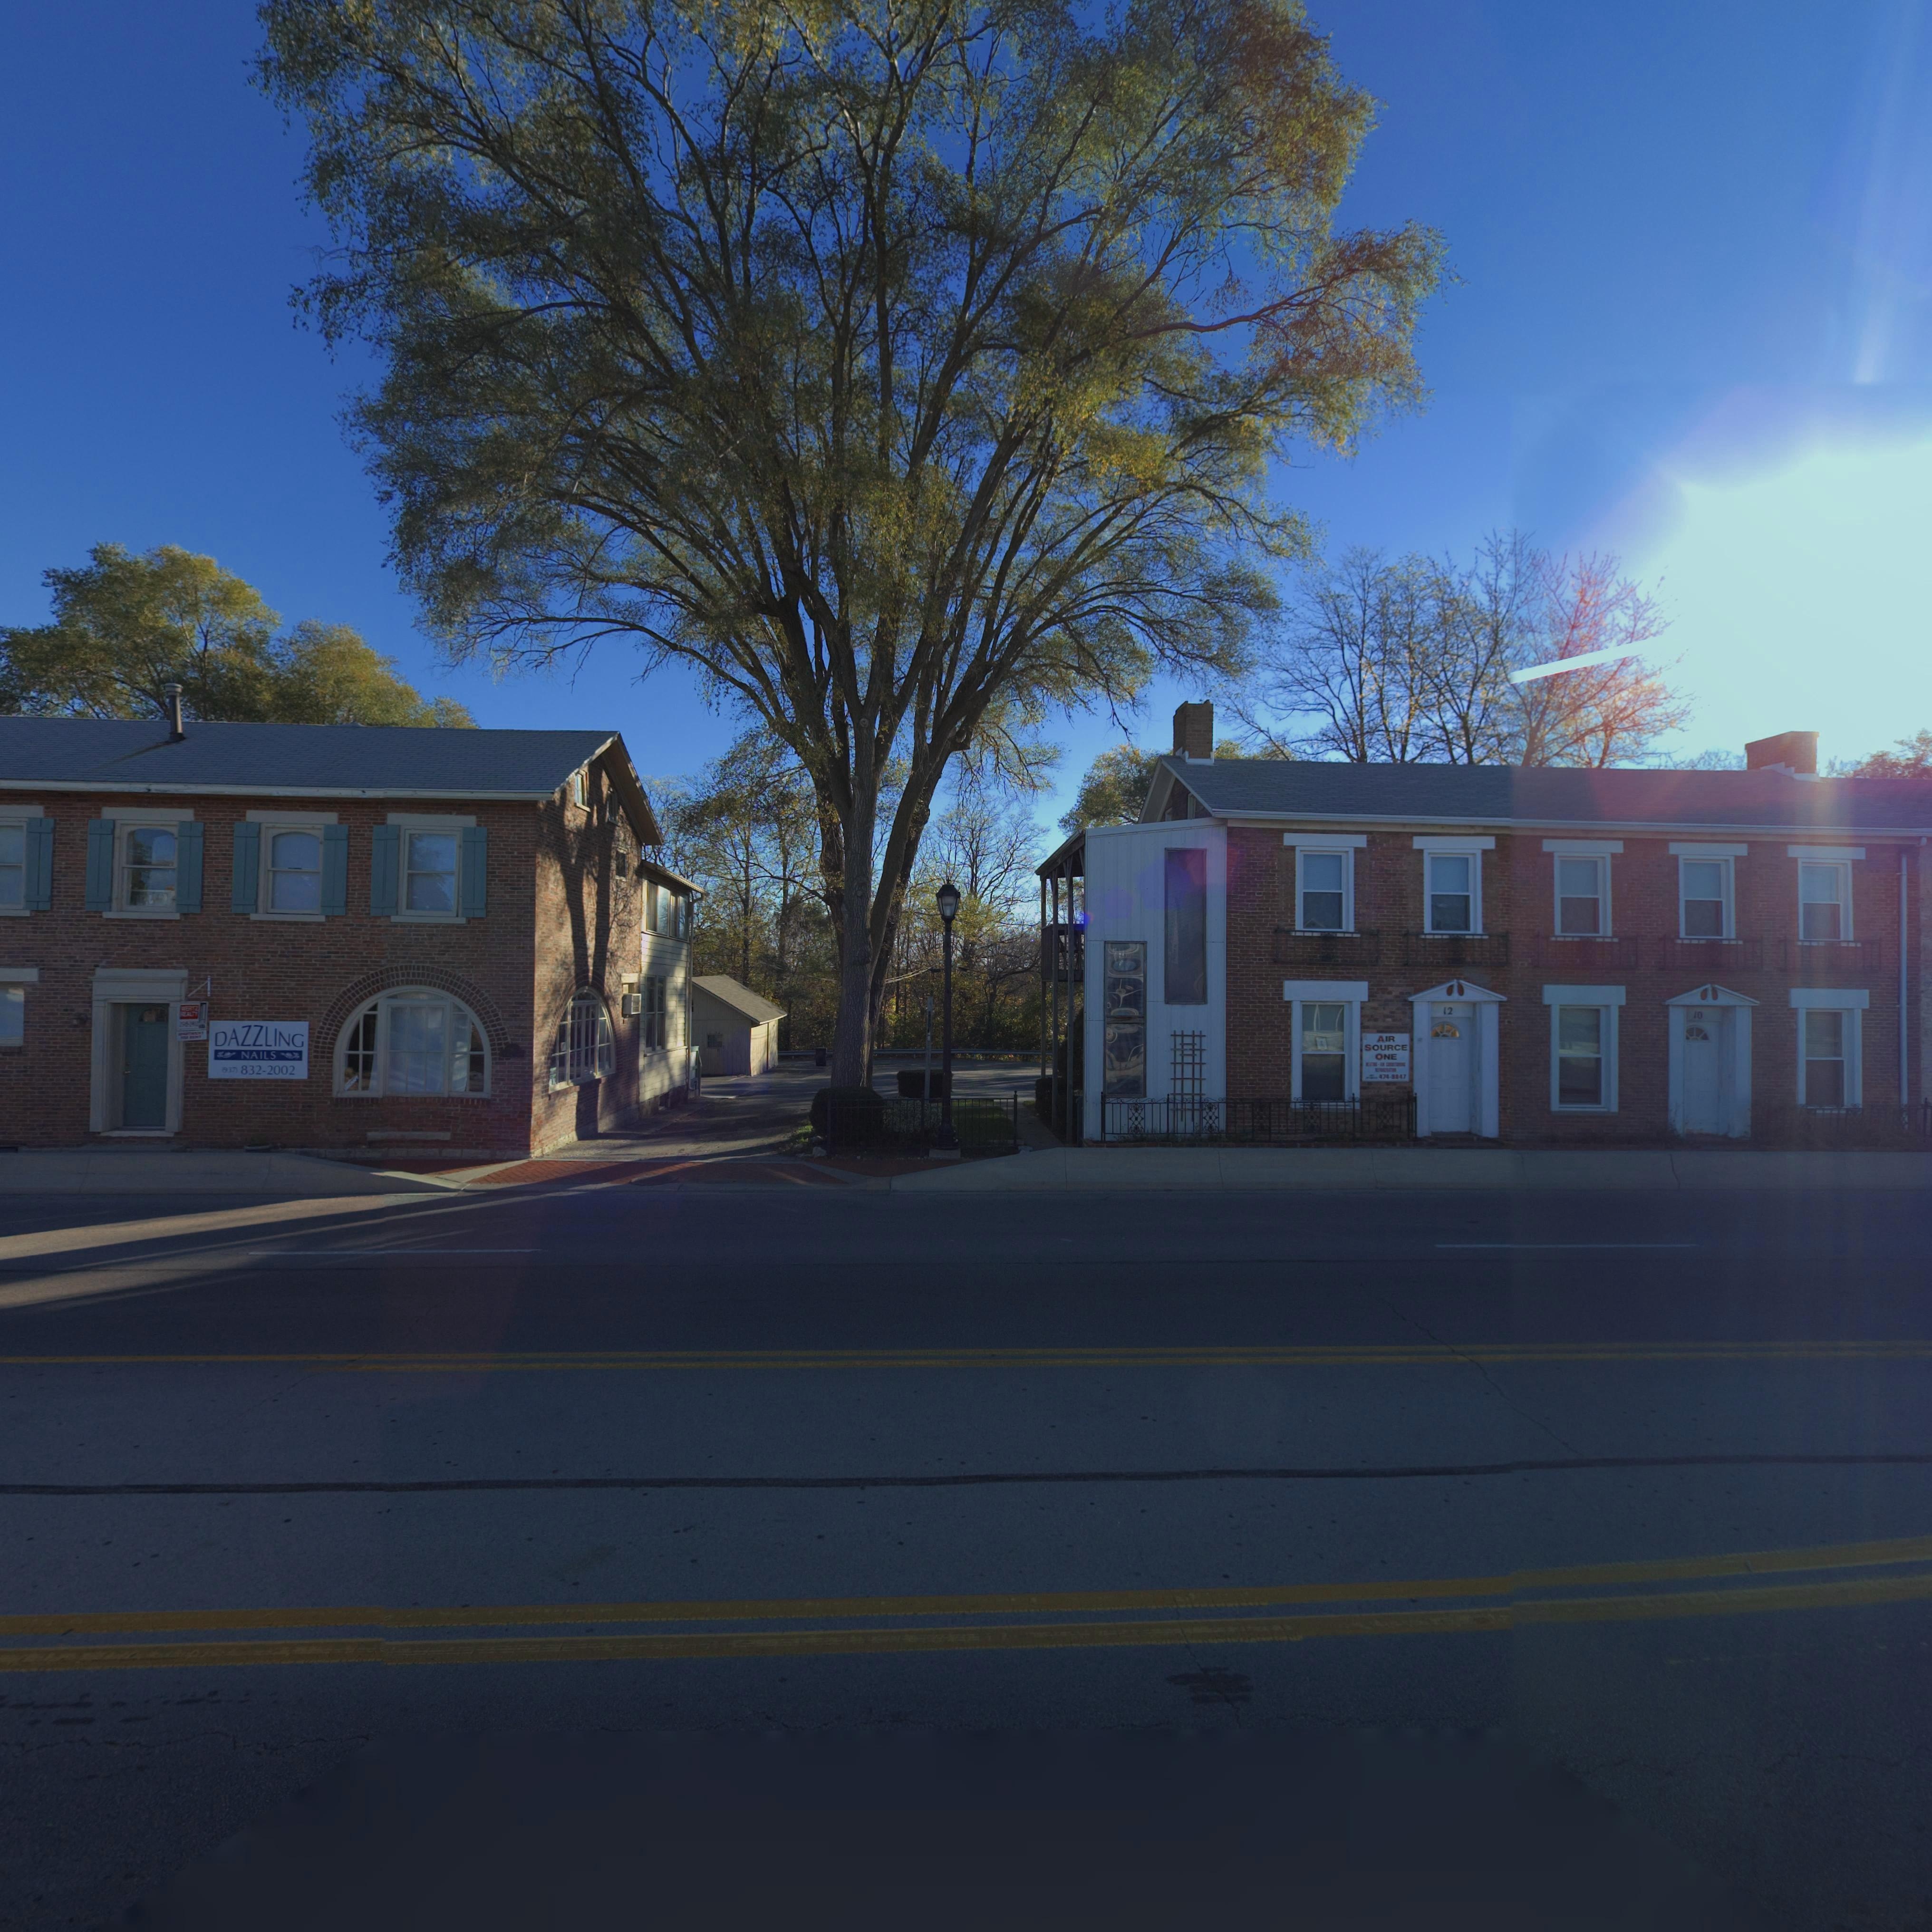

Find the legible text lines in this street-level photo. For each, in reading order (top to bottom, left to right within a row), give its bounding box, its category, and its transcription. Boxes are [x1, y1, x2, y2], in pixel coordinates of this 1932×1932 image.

[1443, 1006, 1453, 1015] StreetNumber: 12
[1693, 1010, 1703, 1020] StreetNumber: 10
[213, 1021, 306, 1049] None: DAZZLING
[1377, 1034, 1395, 1042] None: AIR
[1364, 1043, 1408, 1052] None: SOURCE
[241, 1051, 277, 1060] None: NAILS
[1375, 1053, 1397, 1061] None: ONE
[220, 1065, 298, 1077] None: (937) 832-2002